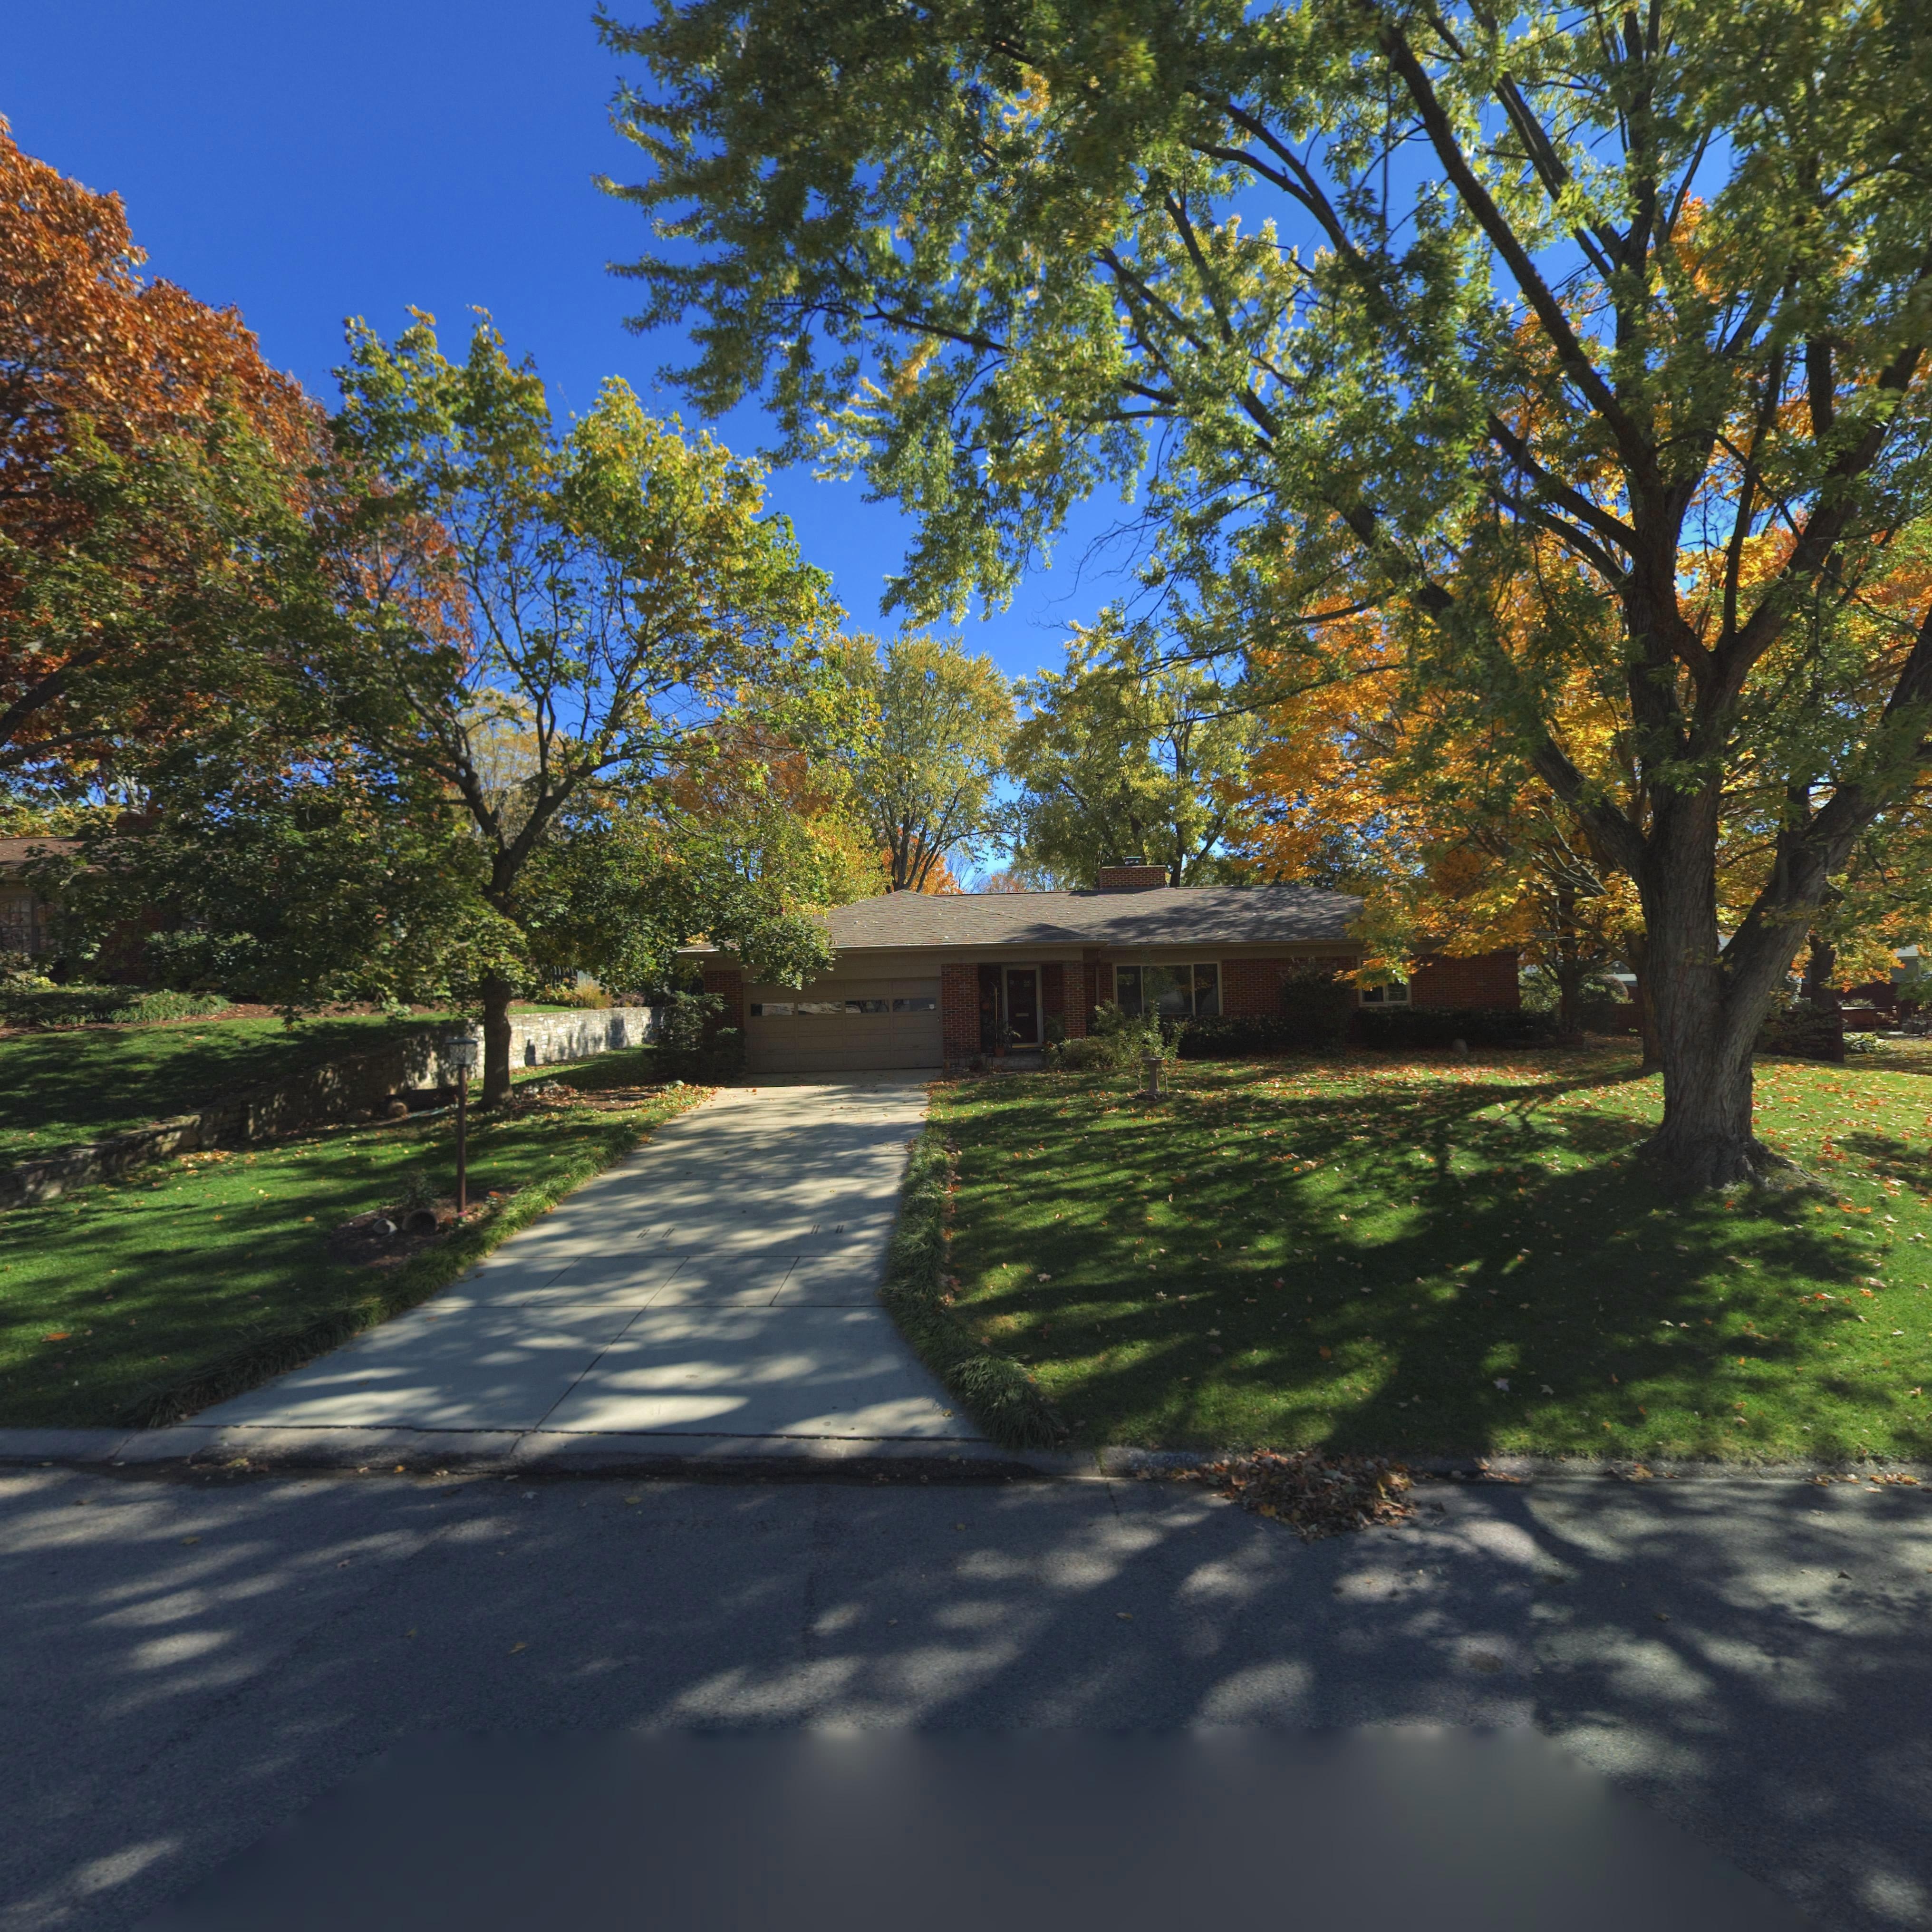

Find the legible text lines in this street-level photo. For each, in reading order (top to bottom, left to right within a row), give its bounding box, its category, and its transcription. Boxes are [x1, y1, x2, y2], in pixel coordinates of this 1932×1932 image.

[1161, 1455, 1197, 1470] StreetNumber: 2**